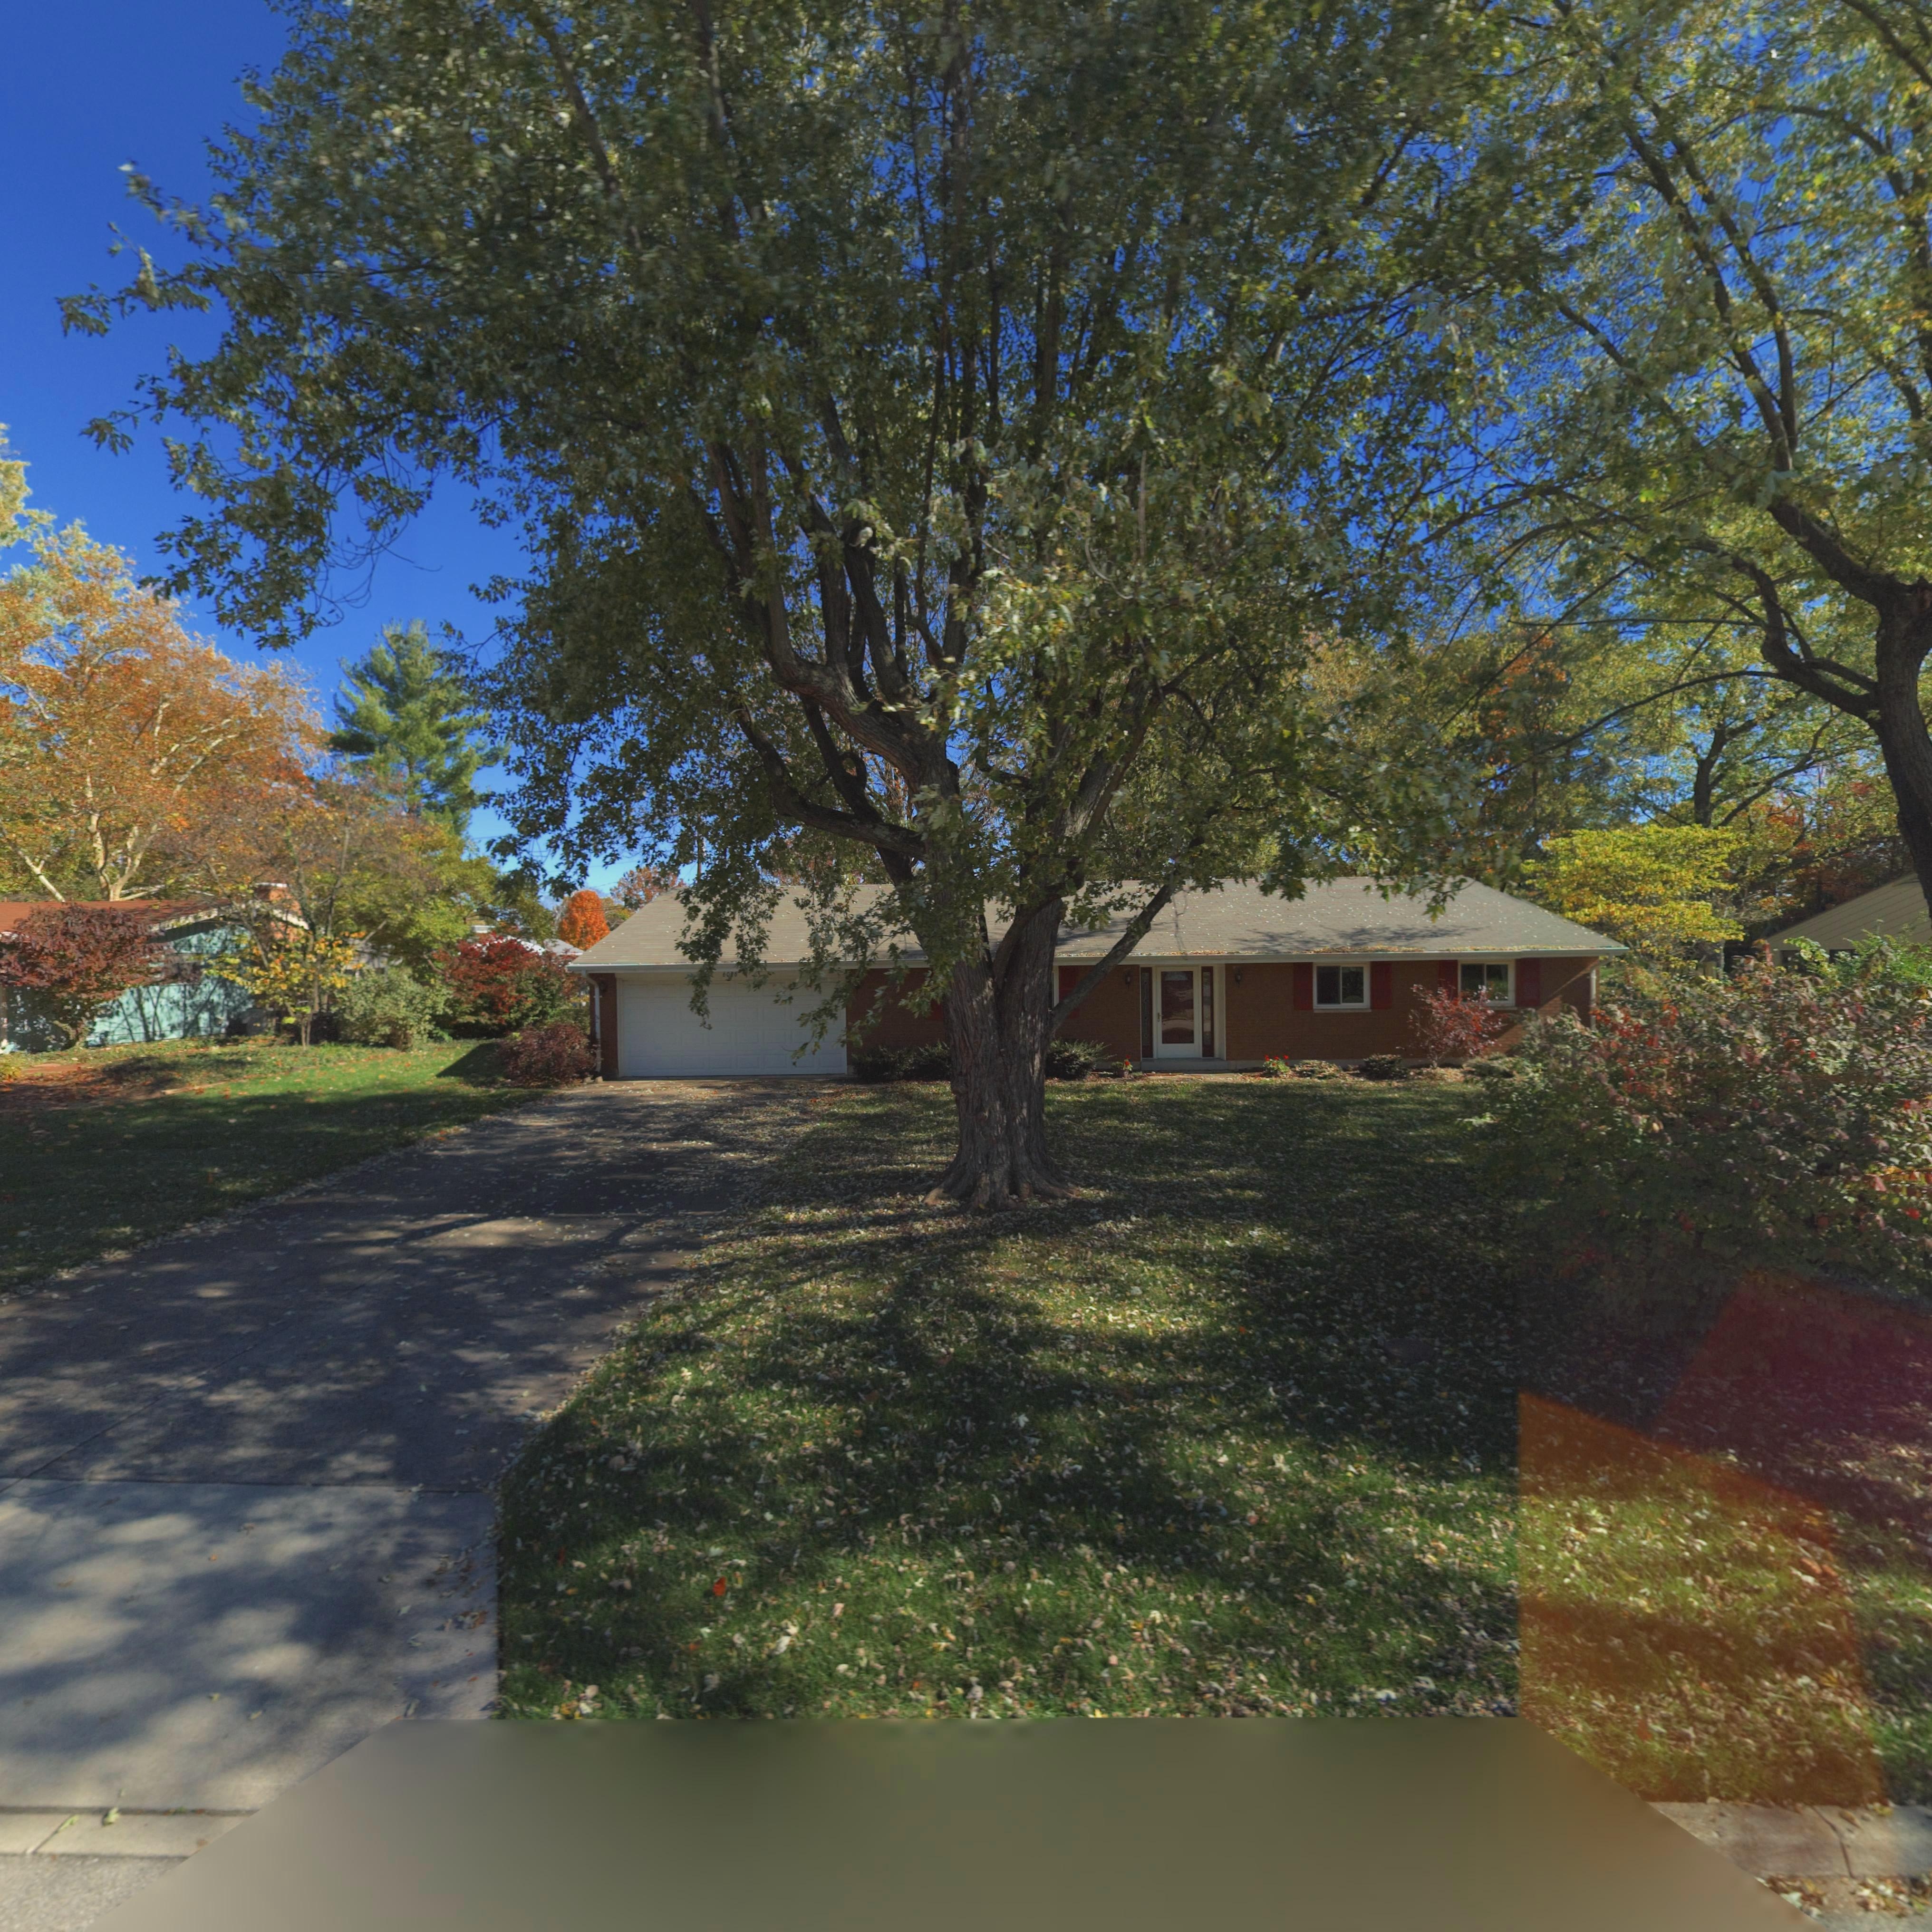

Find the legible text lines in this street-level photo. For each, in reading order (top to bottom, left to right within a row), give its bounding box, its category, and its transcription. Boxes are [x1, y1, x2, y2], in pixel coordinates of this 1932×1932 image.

[722, 971, 738, 978] StreetNumber: 60*6